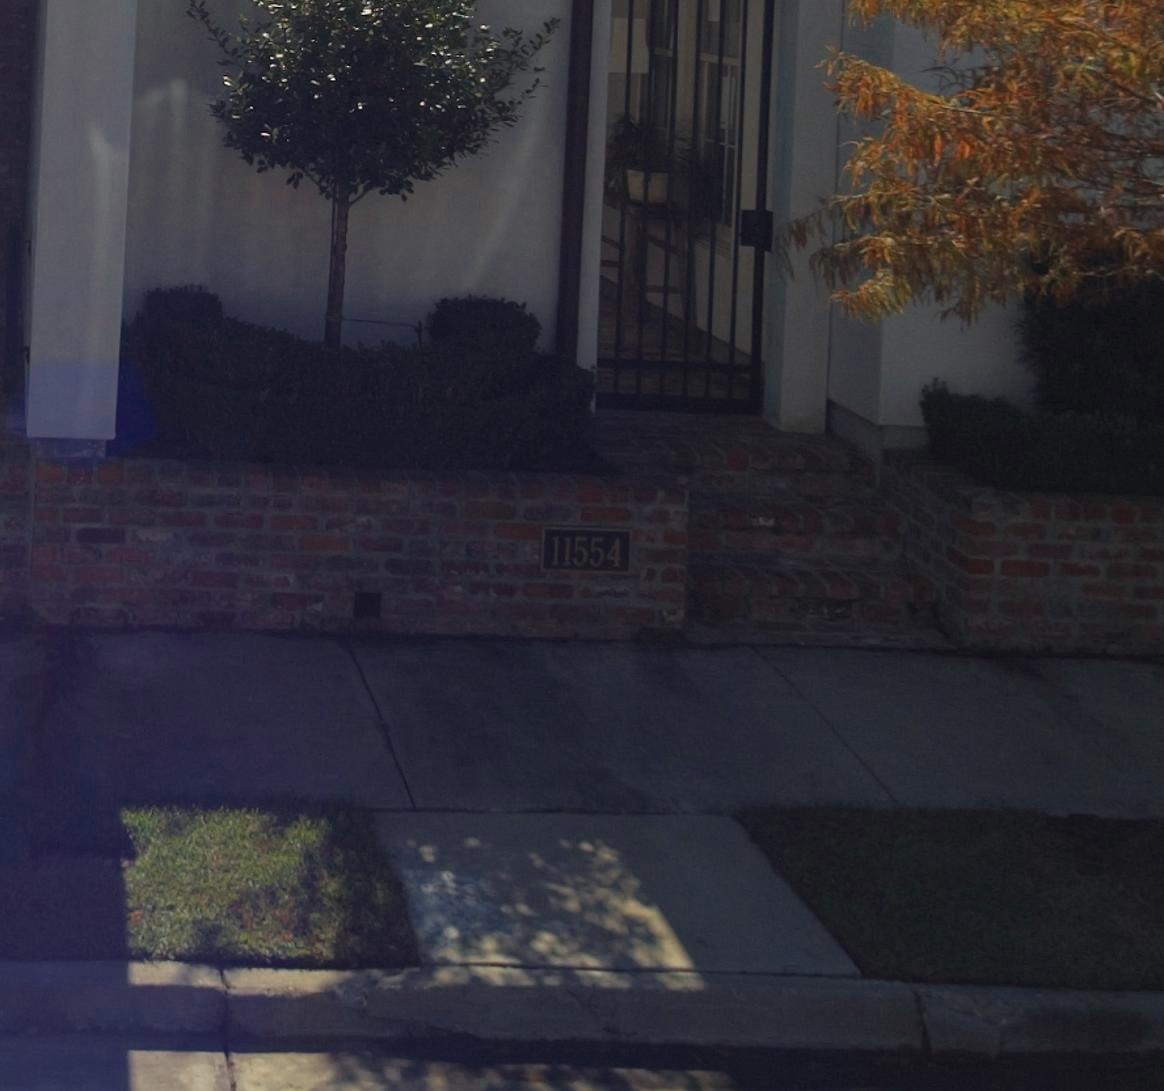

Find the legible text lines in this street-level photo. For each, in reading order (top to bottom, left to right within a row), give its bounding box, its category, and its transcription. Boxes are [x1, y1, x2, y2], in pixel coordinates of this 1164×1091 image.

[551, 536, 623, 568] StreetNumber: 11554